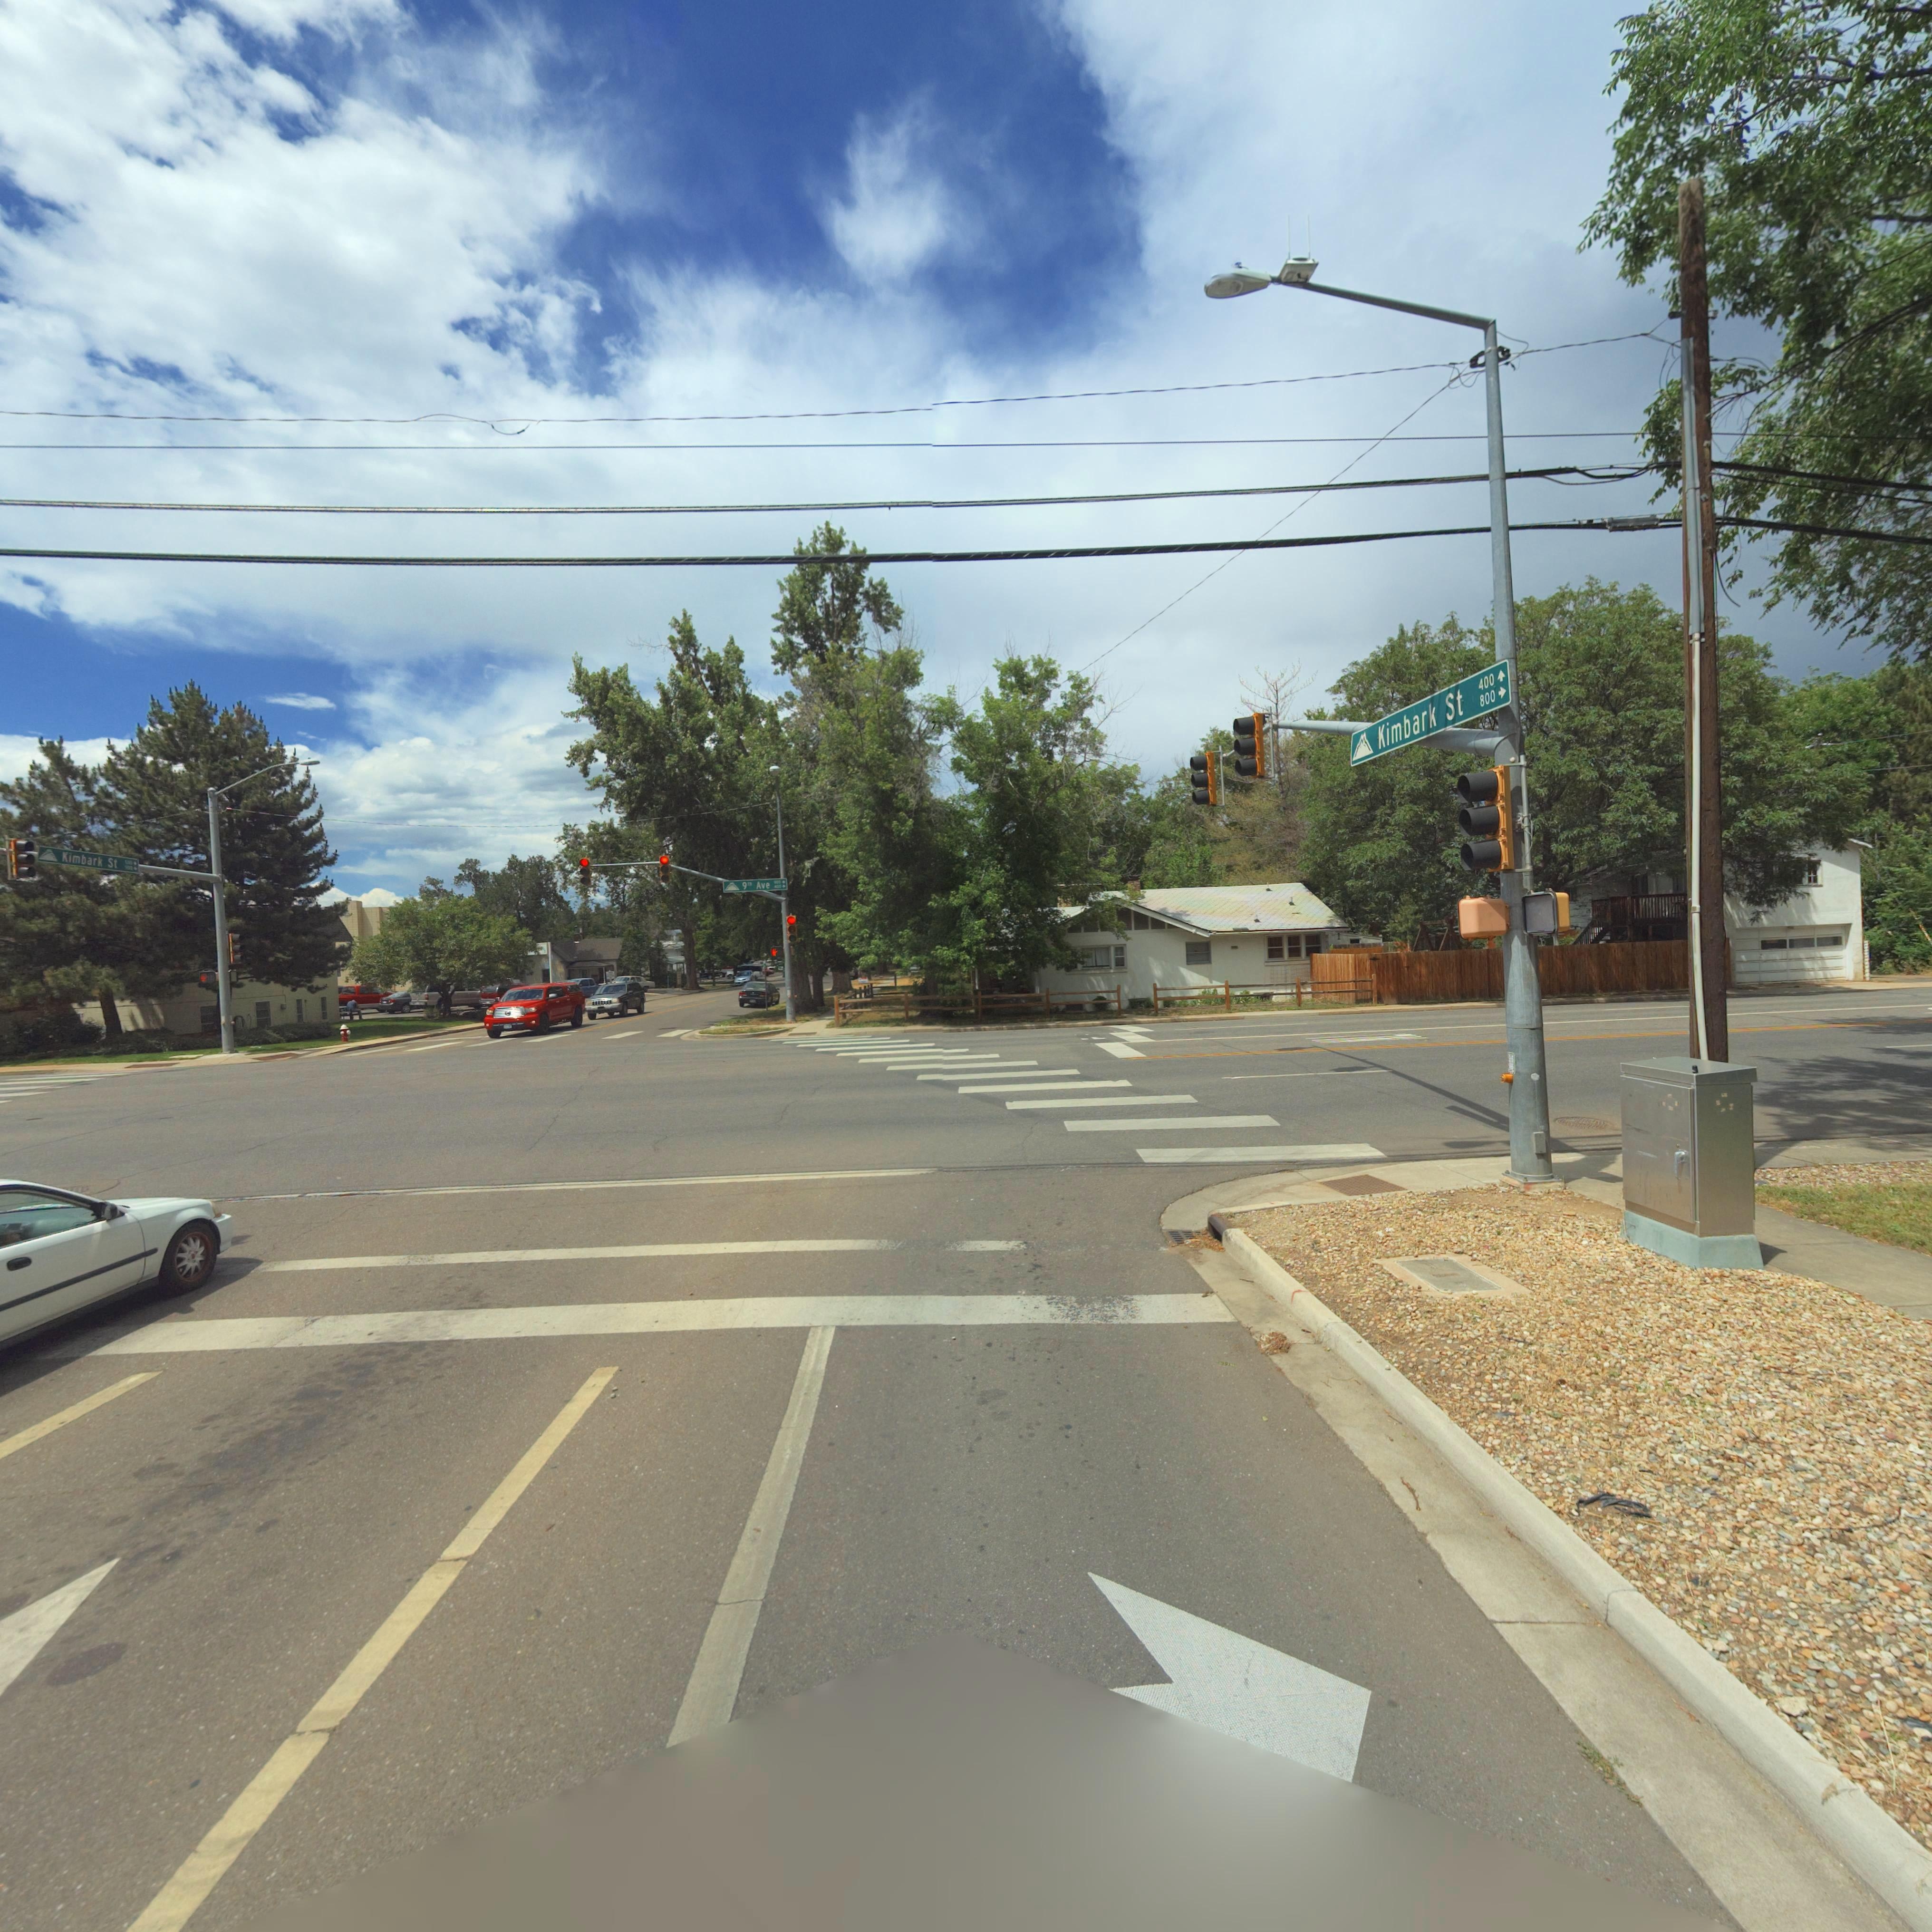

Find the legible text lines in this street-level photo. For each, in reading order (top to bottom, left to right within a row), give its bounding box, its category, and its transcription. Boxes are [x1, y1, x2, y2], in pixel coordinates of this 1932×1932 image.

[1478, 673, 1494, 690] StreetNumberRange: 400
[1479, 686, 1507, 707] StreetNumberRange: 800->
[1378, 688, 1463, 750] StreetName: Kimbark St
[62, 851, 117, 869] StreetName: Kimbark St
[124, 859, 133, 865] StreetNumberRange: *00
[124, 864, 137, 870] StreetNumberRange: 900->
[742, 881, 770, 890] StreetName: 9th Ave
[773, 879, 781, 884] StreetNumberRange: 900
[773, 884, 786, 889] StreetNumberRange: 400->